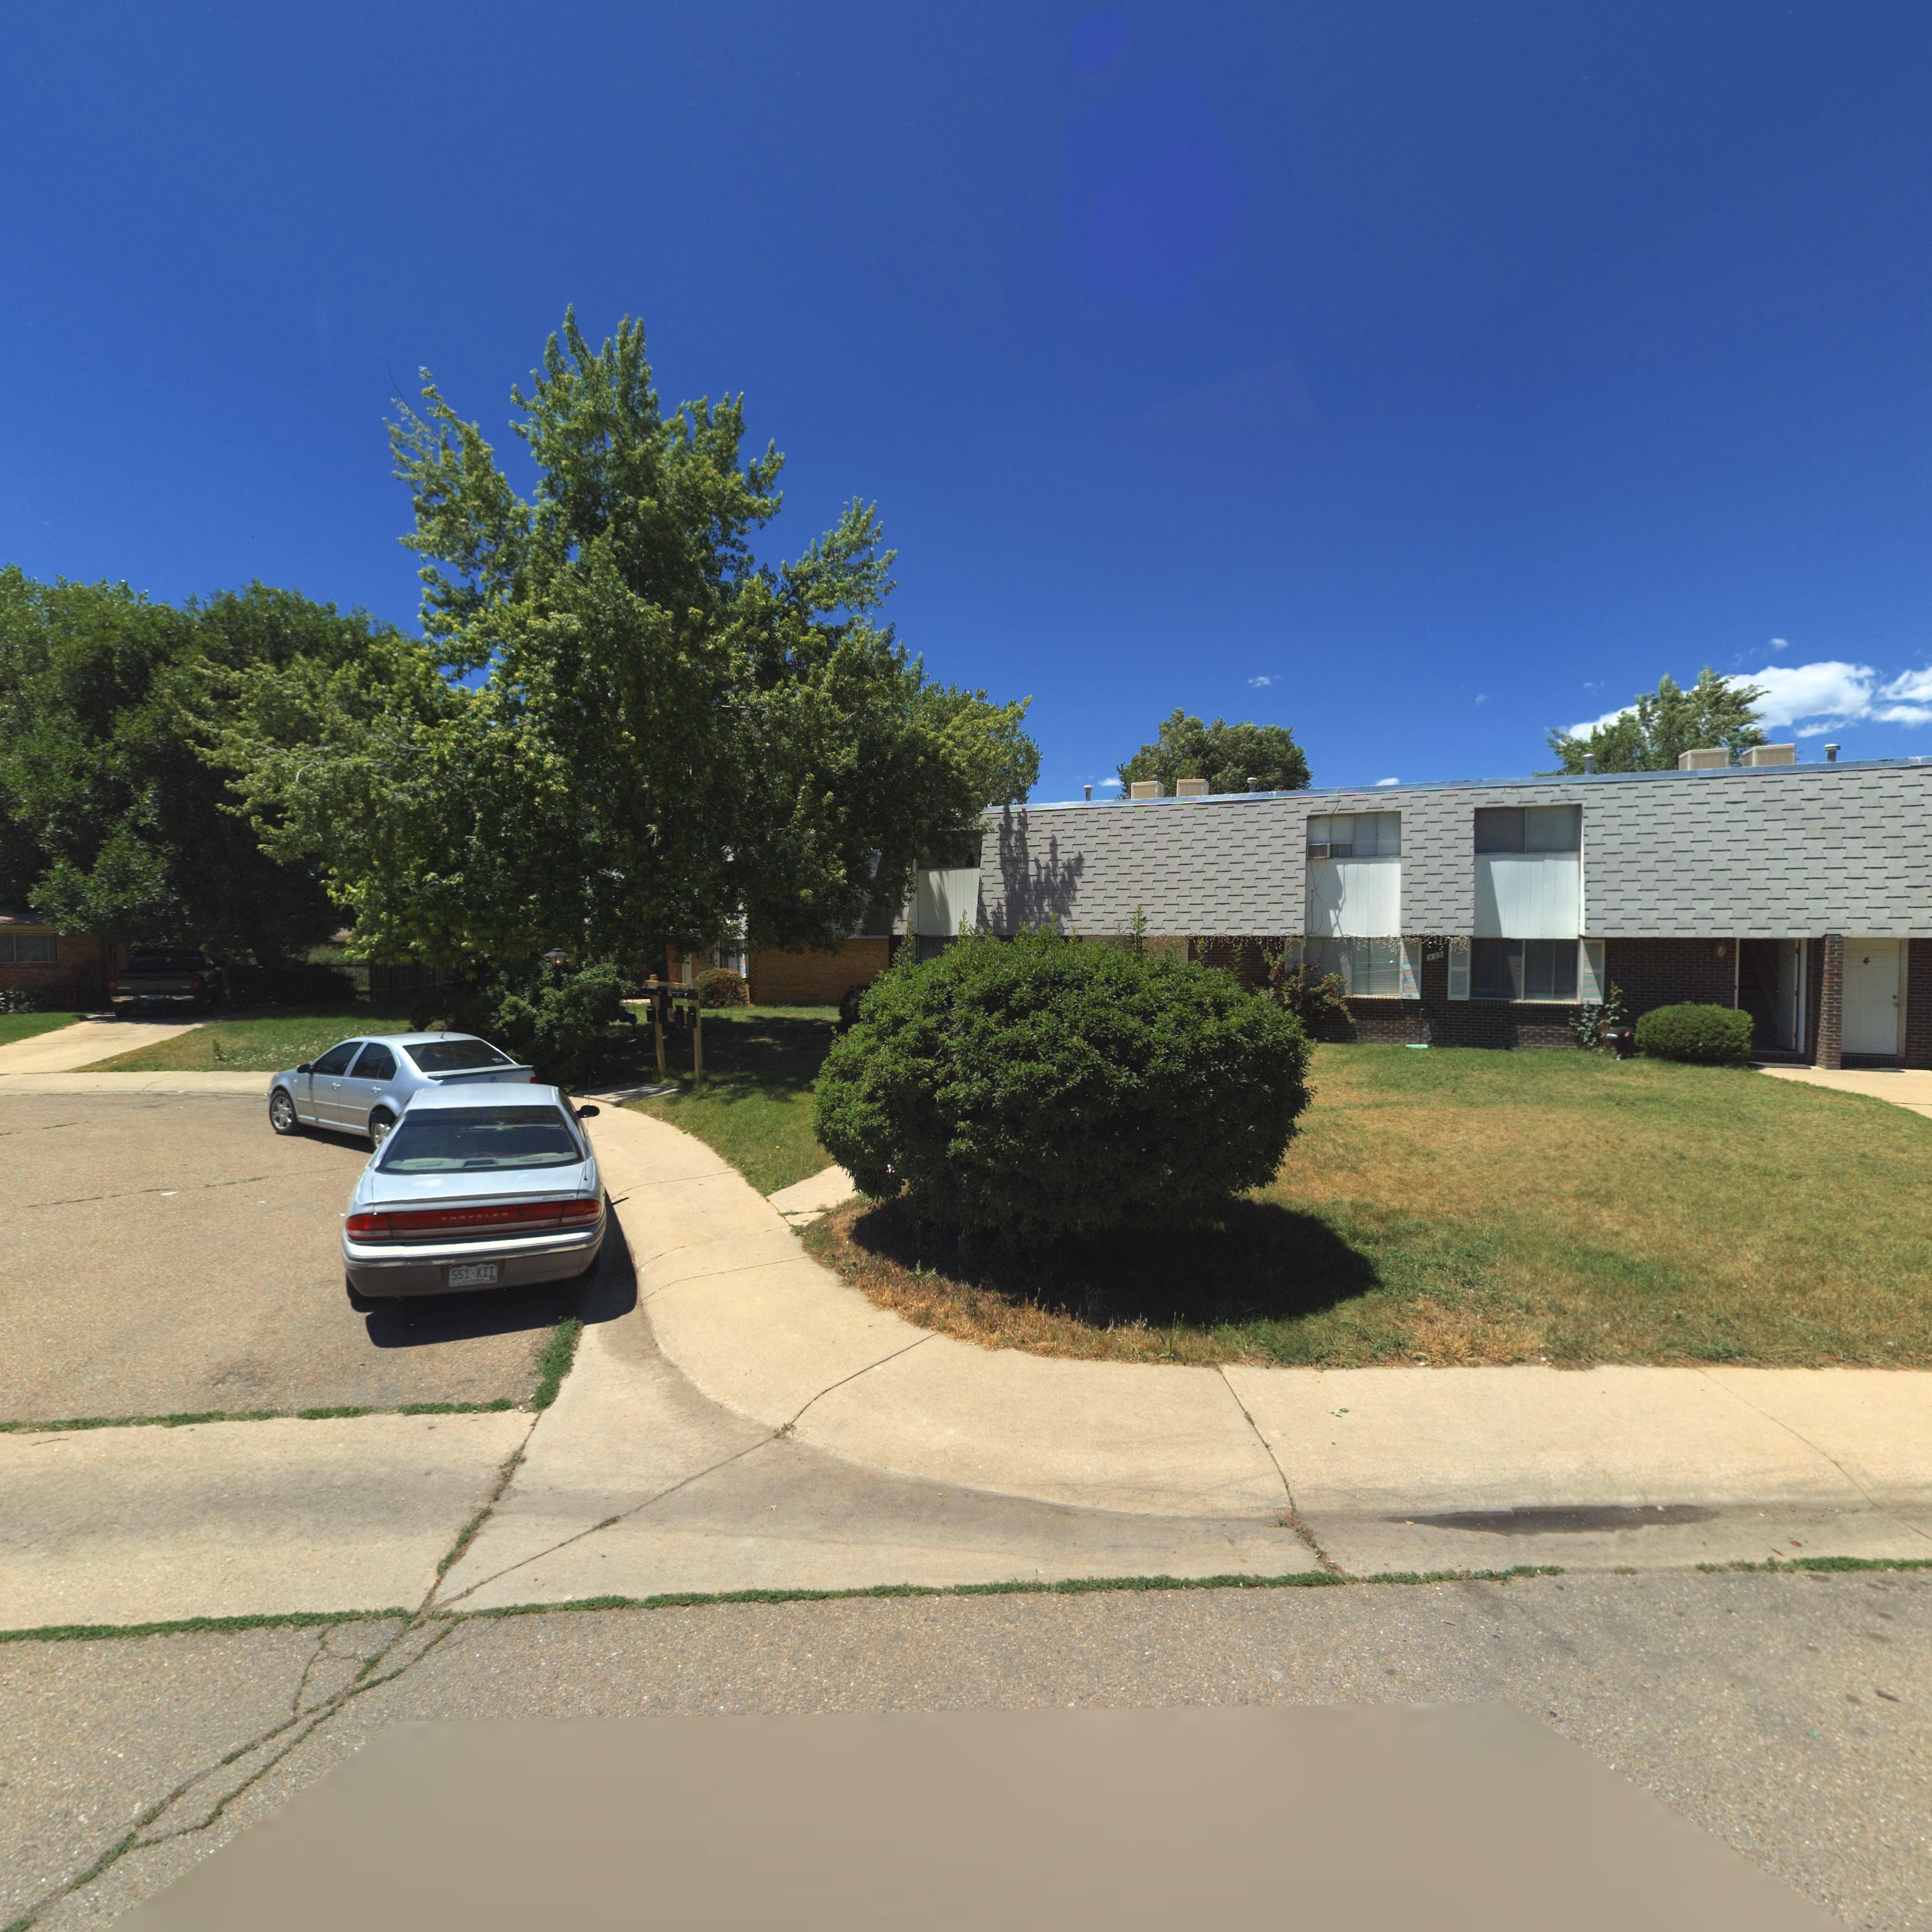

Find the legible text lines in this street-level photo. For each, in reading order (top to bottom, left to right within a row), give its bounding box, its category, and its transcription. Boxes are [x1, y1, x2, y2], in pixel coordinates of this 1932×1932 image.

[1428, 952, 1442, 960] StreetNumber: 435
[1862, 956, 1870, 965] StreetNumber: 4